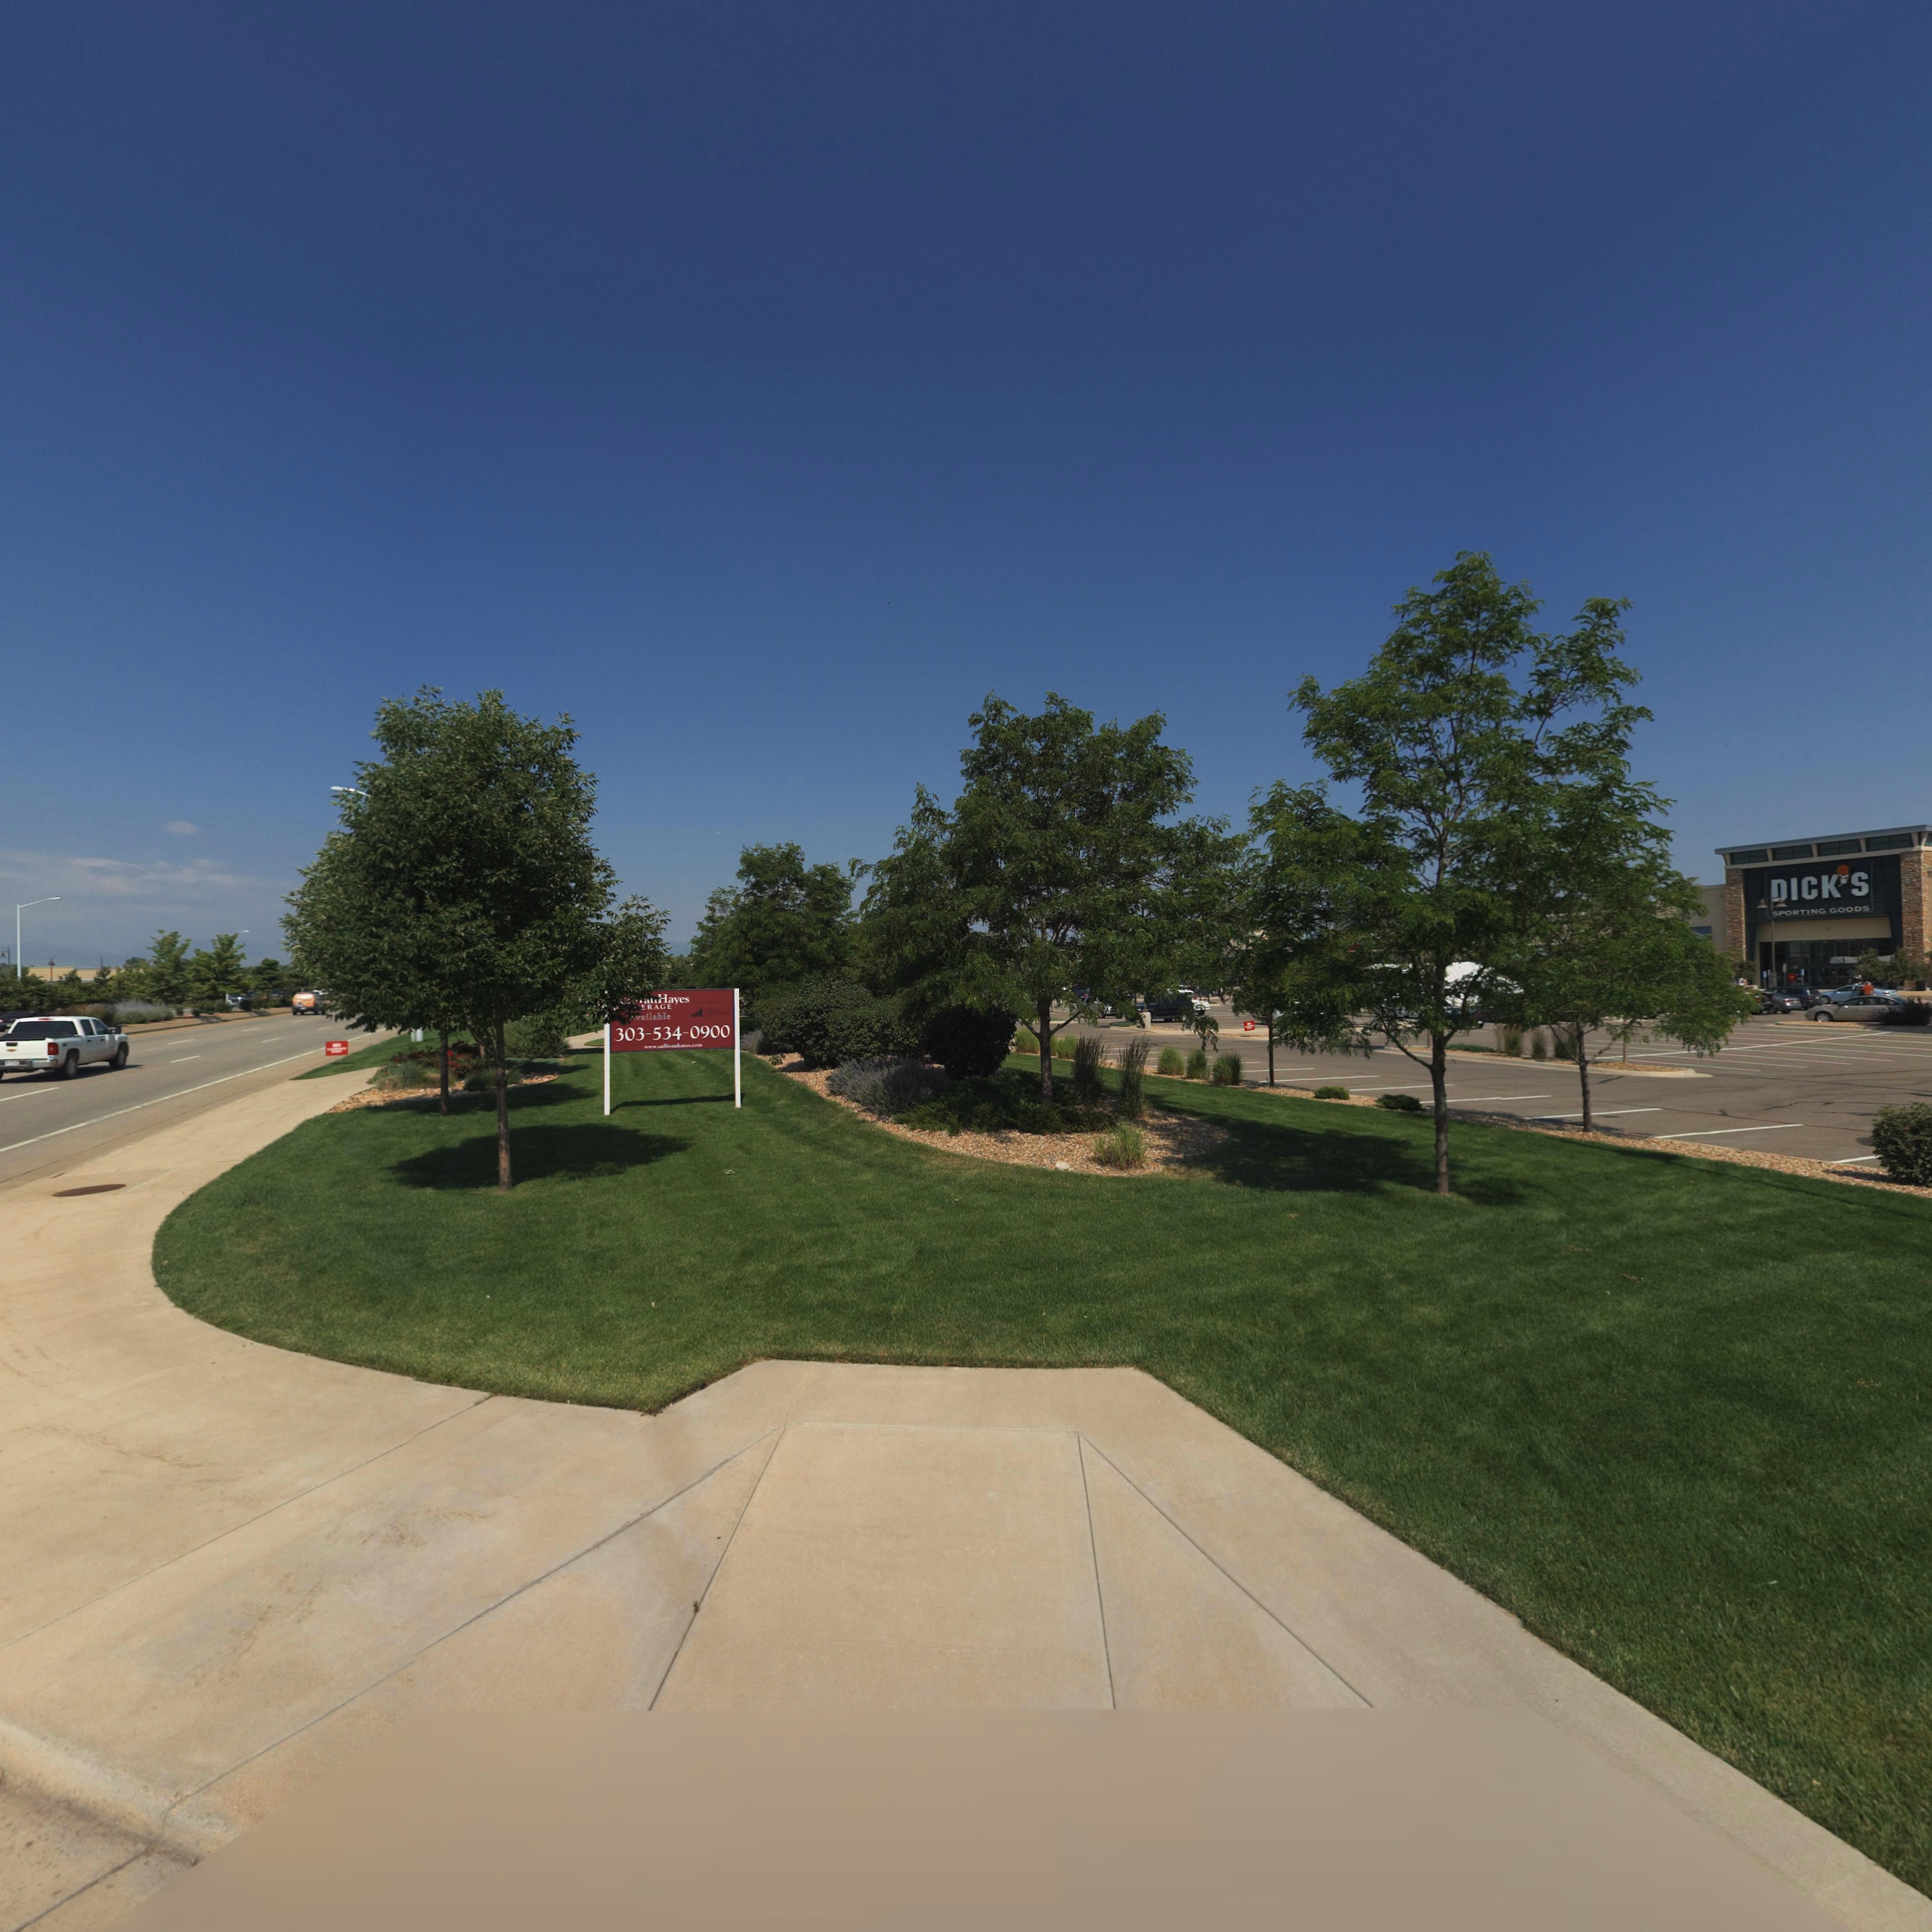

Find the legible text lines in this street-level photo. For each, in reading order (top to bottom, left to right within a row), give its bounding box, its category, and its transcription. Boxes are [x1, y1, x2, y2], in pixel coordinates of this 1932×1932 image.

[1771, 871, 1869, 902] BusinessName: DICK*S